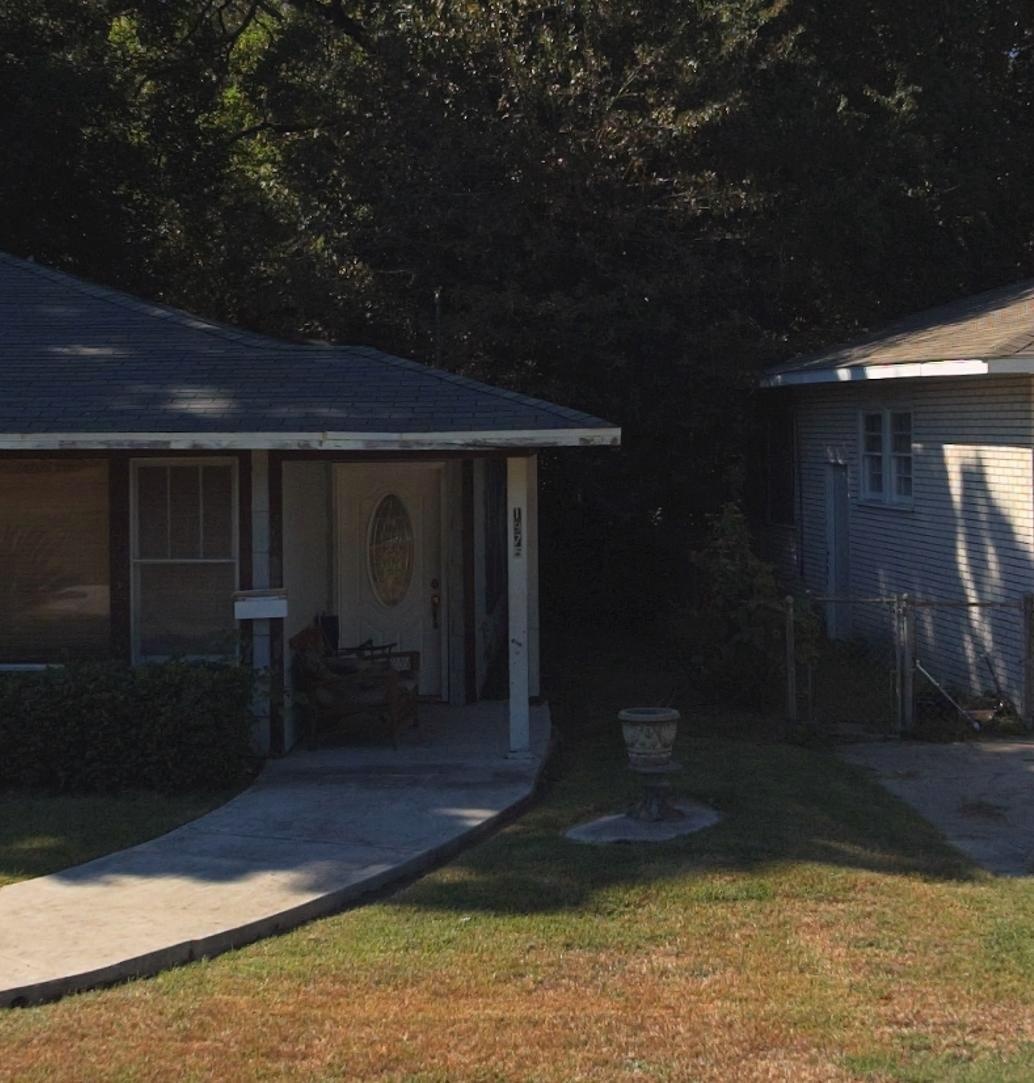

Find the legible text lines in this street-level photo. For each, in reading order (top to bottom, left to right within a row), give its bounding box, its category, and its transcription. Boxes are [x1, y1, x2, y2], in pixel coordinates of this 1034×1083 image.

[513, 506, 522, 560] StreetNumber: 1975